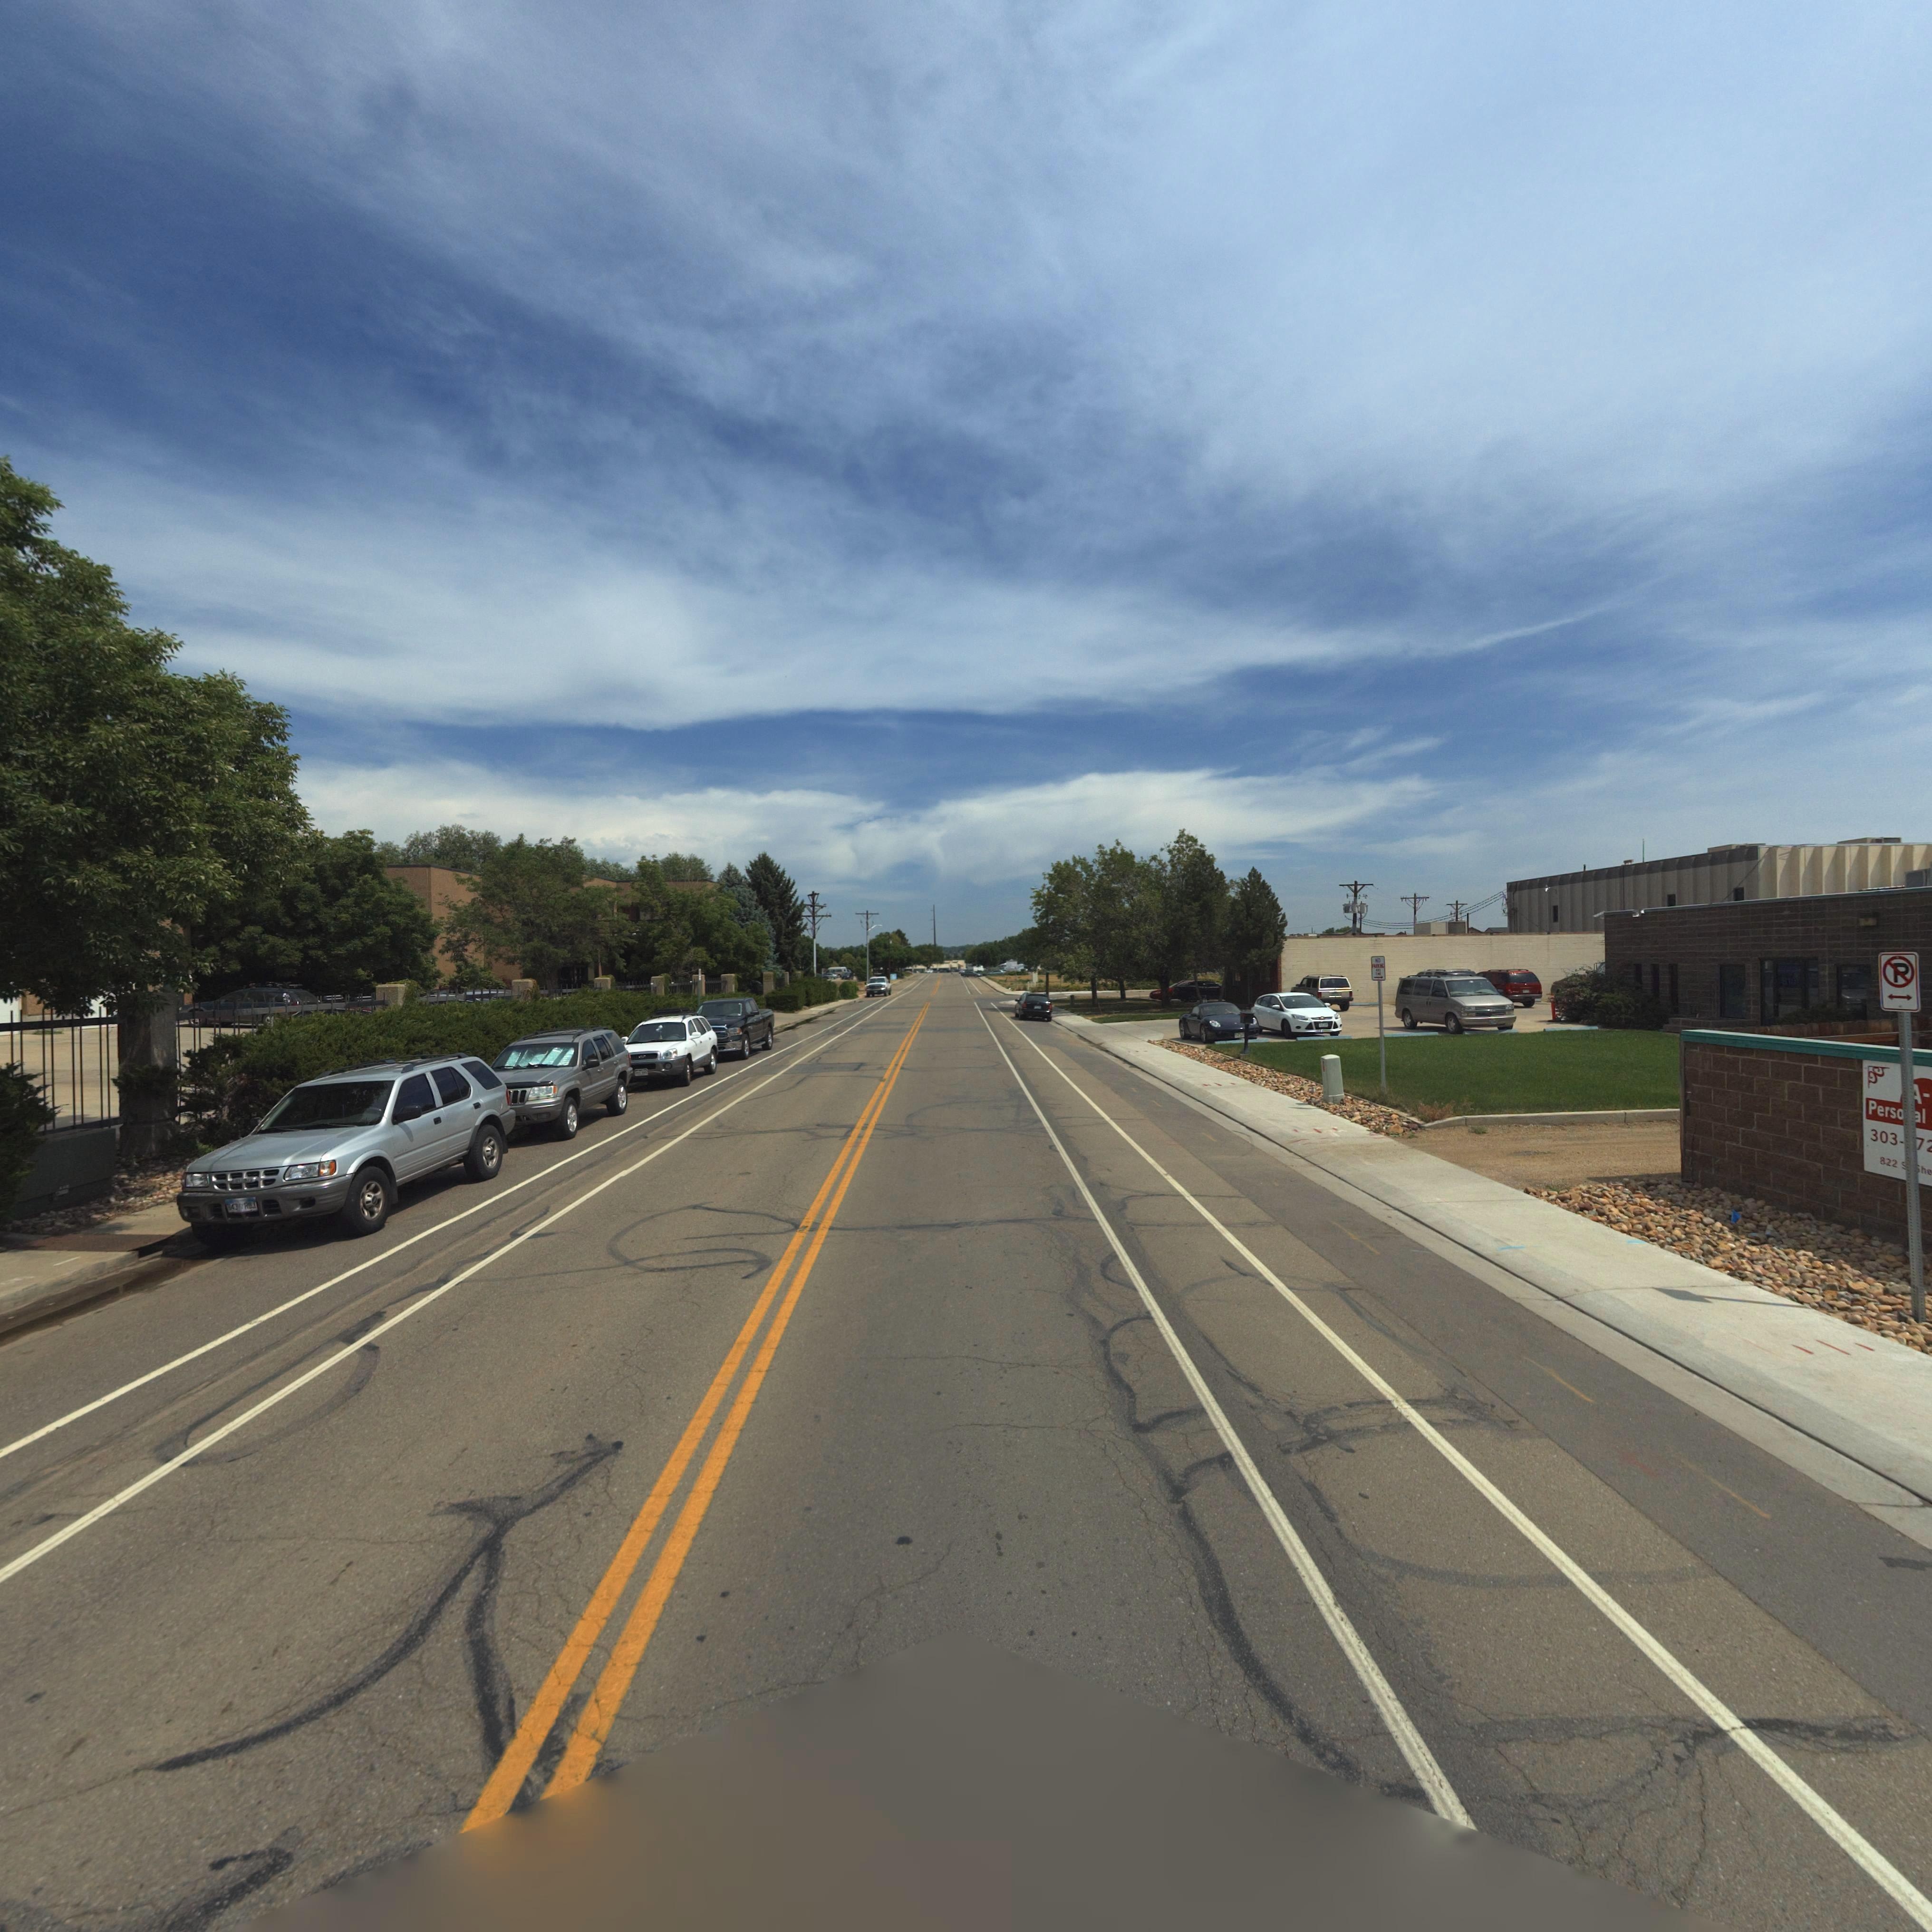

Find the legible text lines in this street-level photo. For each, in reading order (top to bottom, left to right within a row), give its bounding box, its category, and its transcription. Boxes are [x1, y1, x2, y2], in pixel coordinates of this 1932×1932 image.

[1904, 1083, 1930, 1104] BusinessName: *-
[1867, 1100, 1926, 1124] BusinessName: Perso**l
[1879, 1156, 1898, 1168] StreetNumber: 822